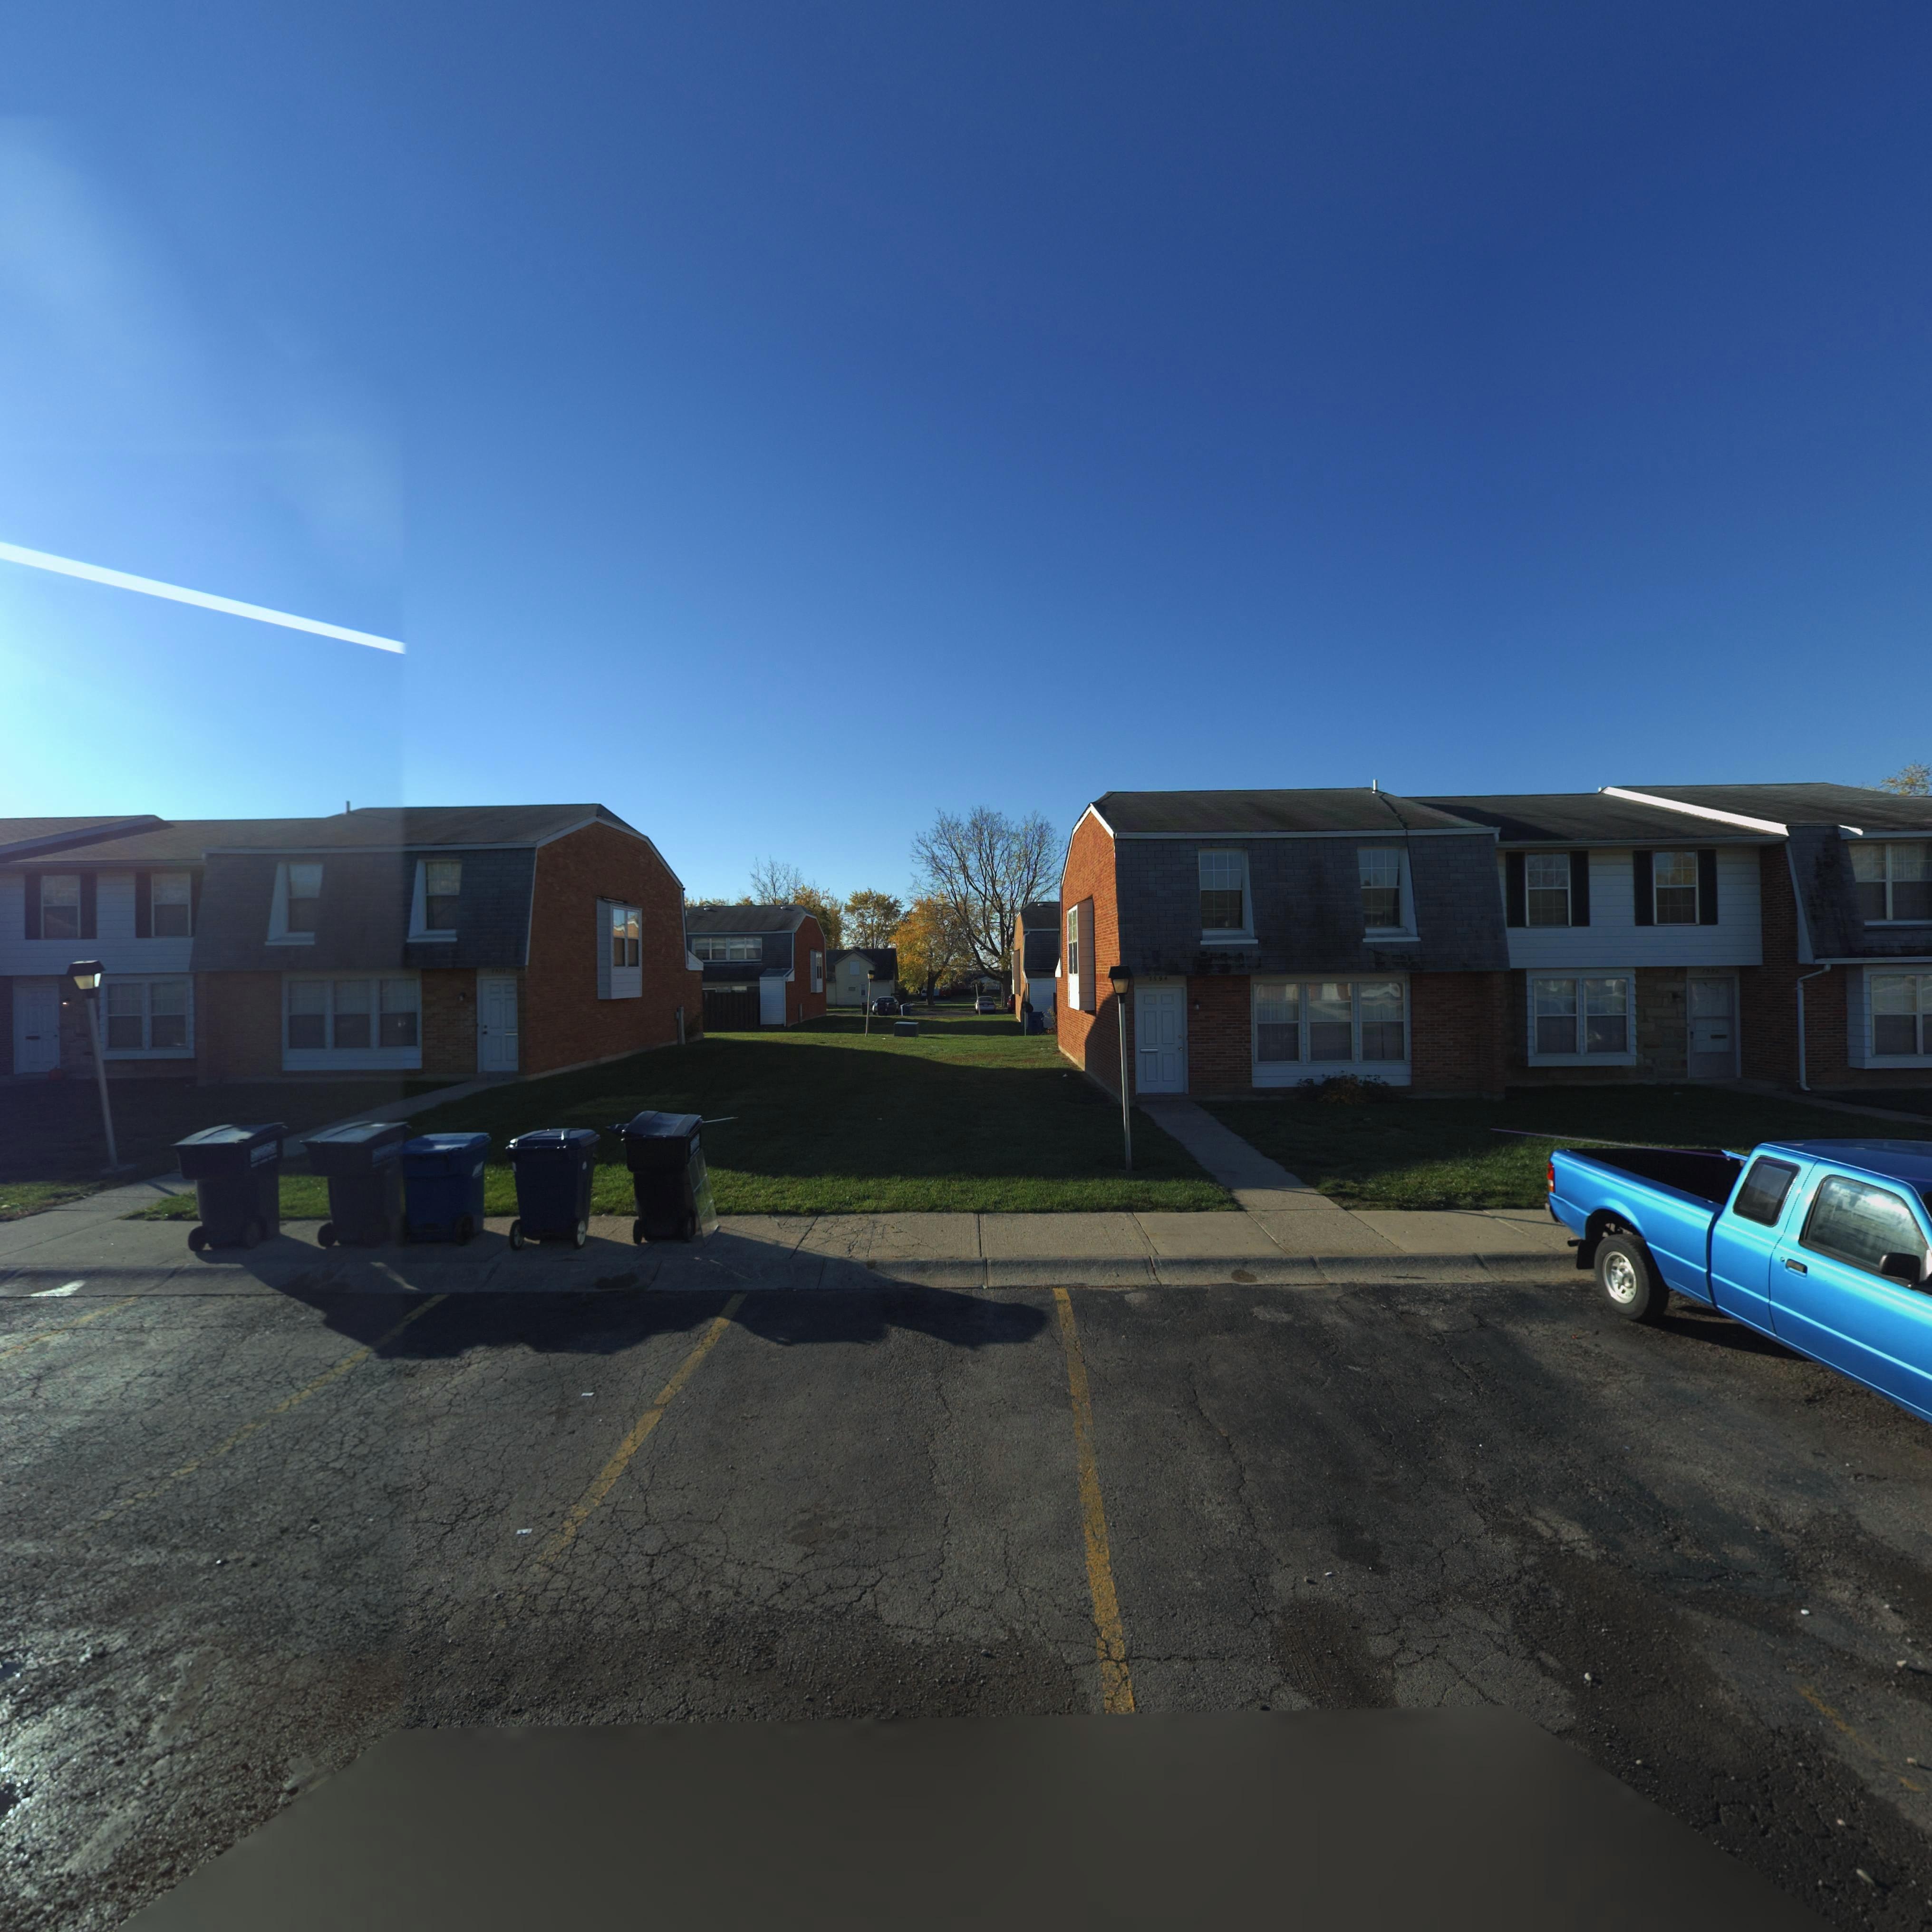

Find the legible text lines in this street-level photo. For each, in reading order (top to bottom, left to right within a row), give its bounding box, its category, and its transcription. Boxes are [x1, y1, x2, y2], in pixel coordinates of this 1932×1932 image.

[490, 967, 507, 975] StreetNumber: 753*
[1701, 967, 1720, 975] StreetNumber: 75*2
[1148, 975, 1168, 982] StreetNumber: 7594